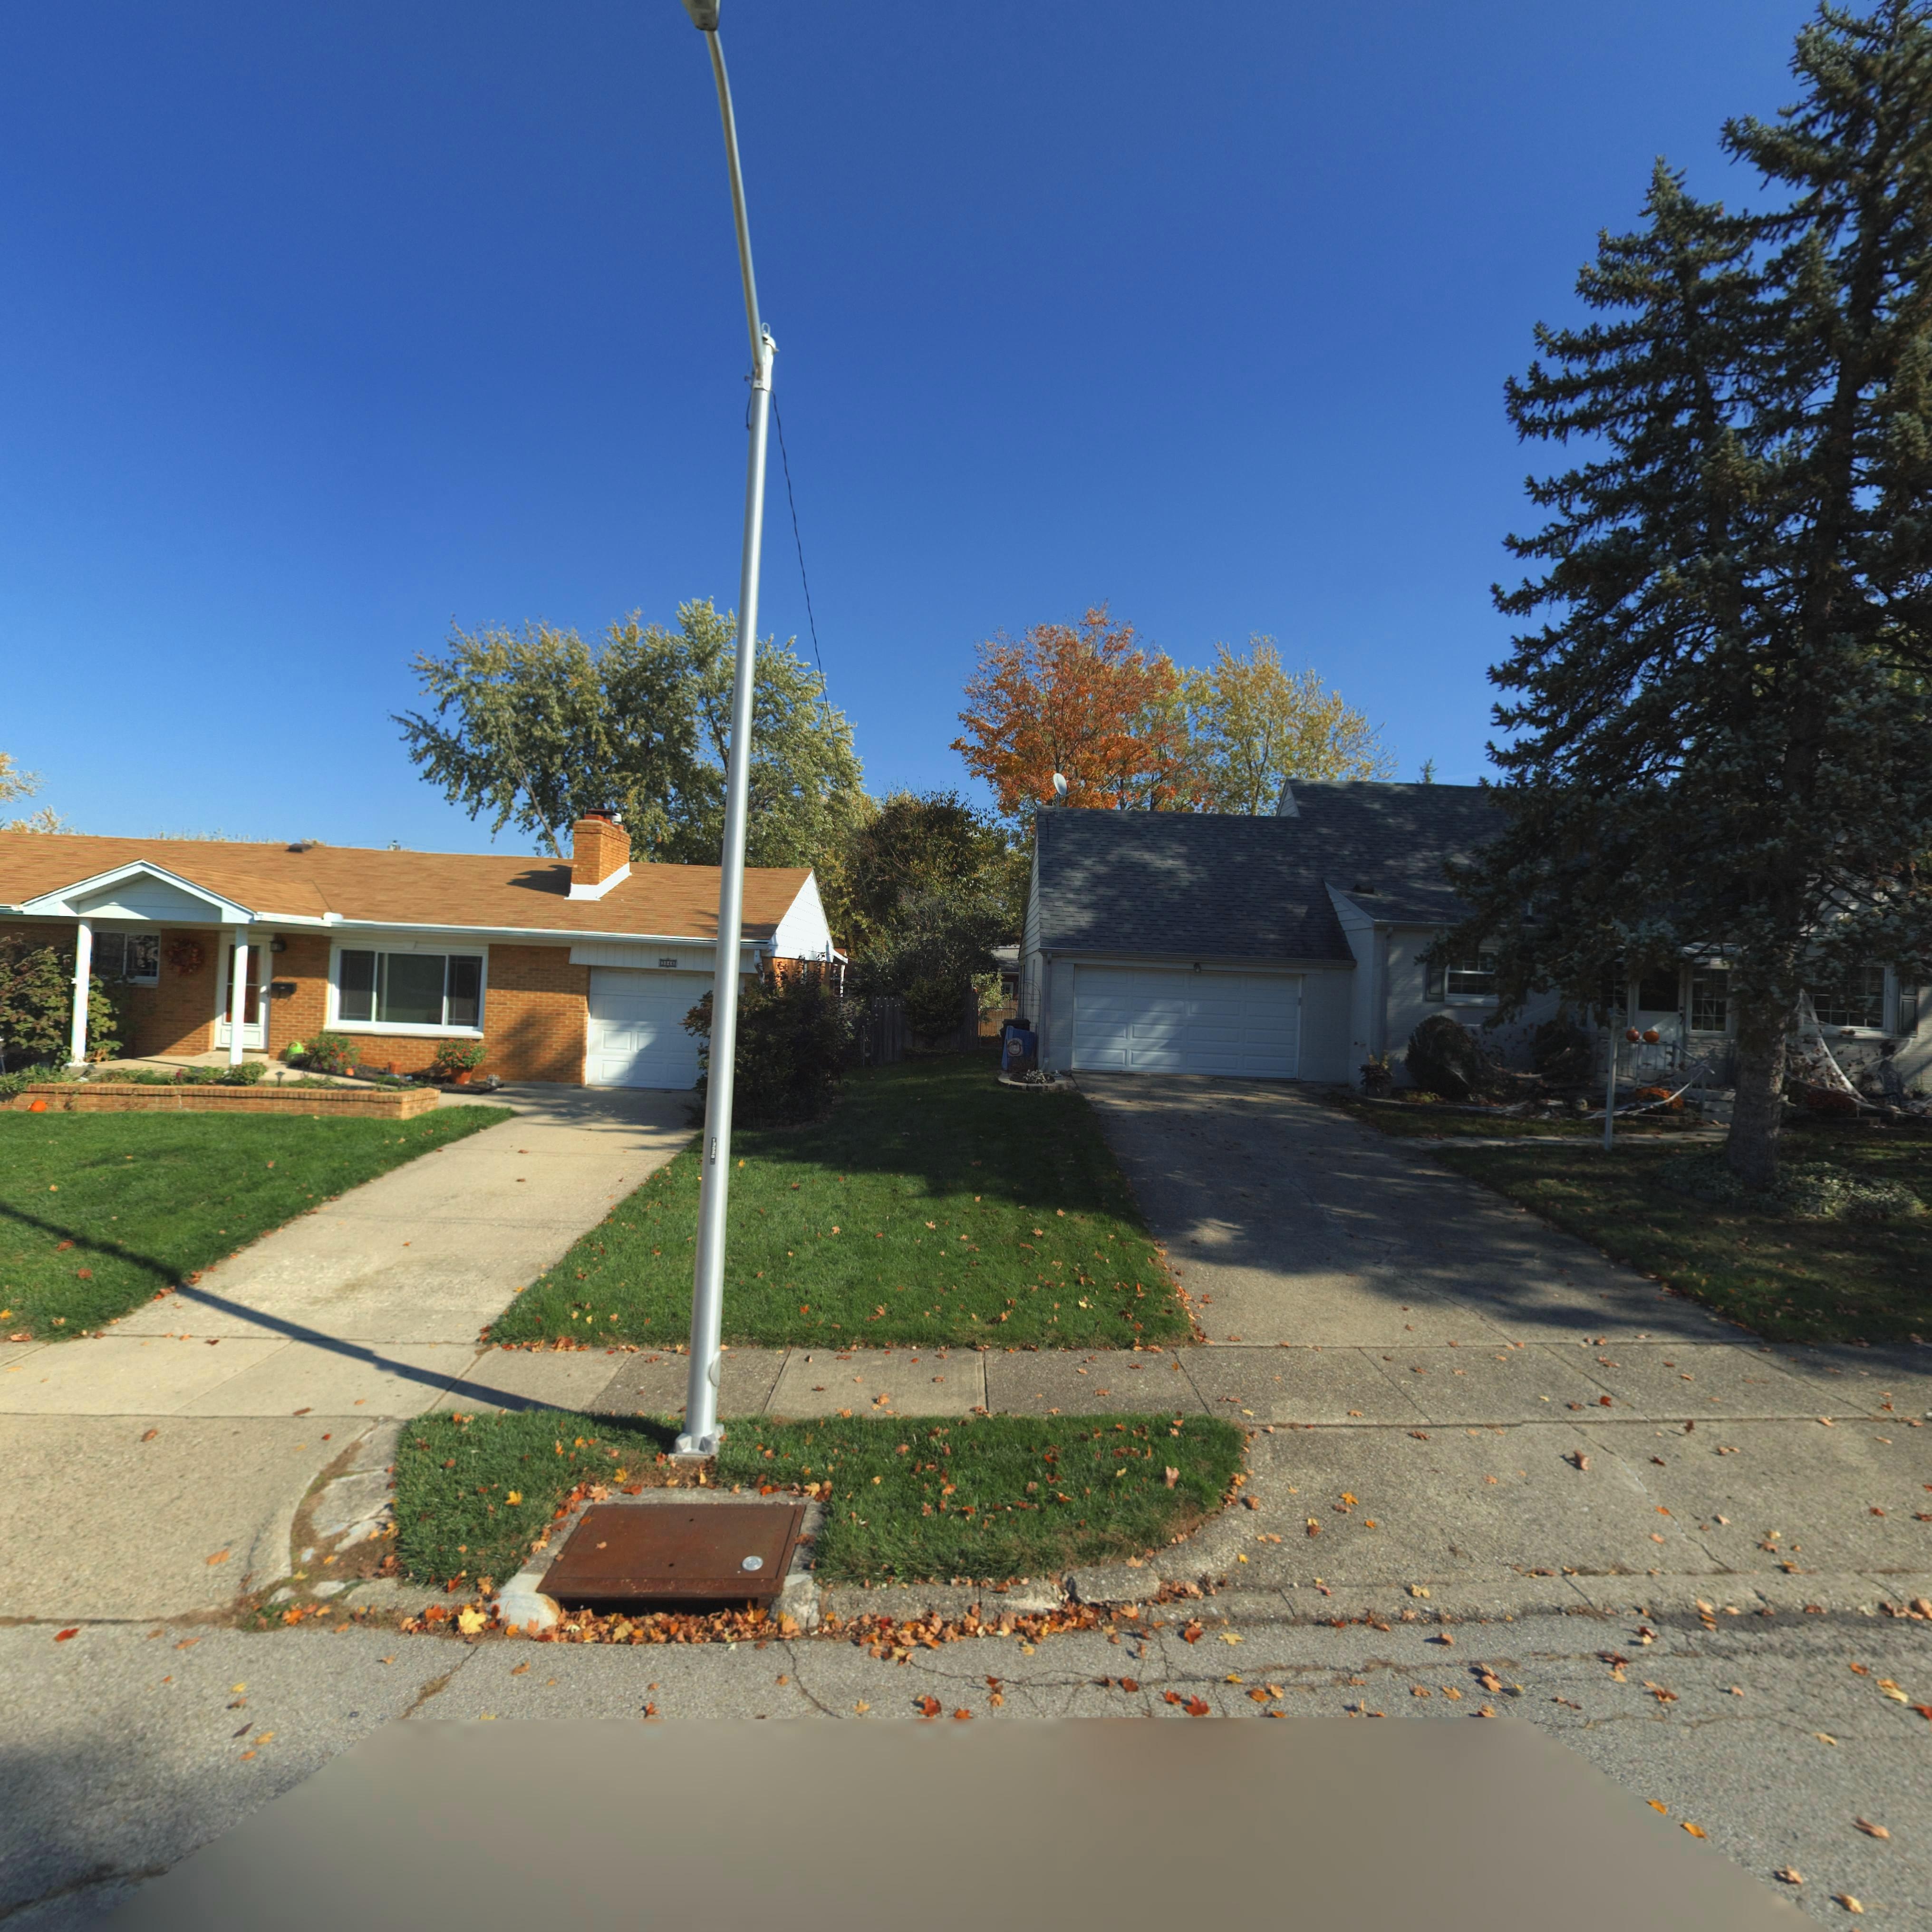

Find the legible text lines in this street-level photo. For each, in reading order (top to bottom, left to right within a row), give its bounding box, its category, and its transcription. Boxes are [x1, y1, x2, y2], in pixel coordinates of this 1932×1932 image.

[661, 960, 675, 966] StreetNumber: 384*
[710, 1138, 716, 1159] None: 13520